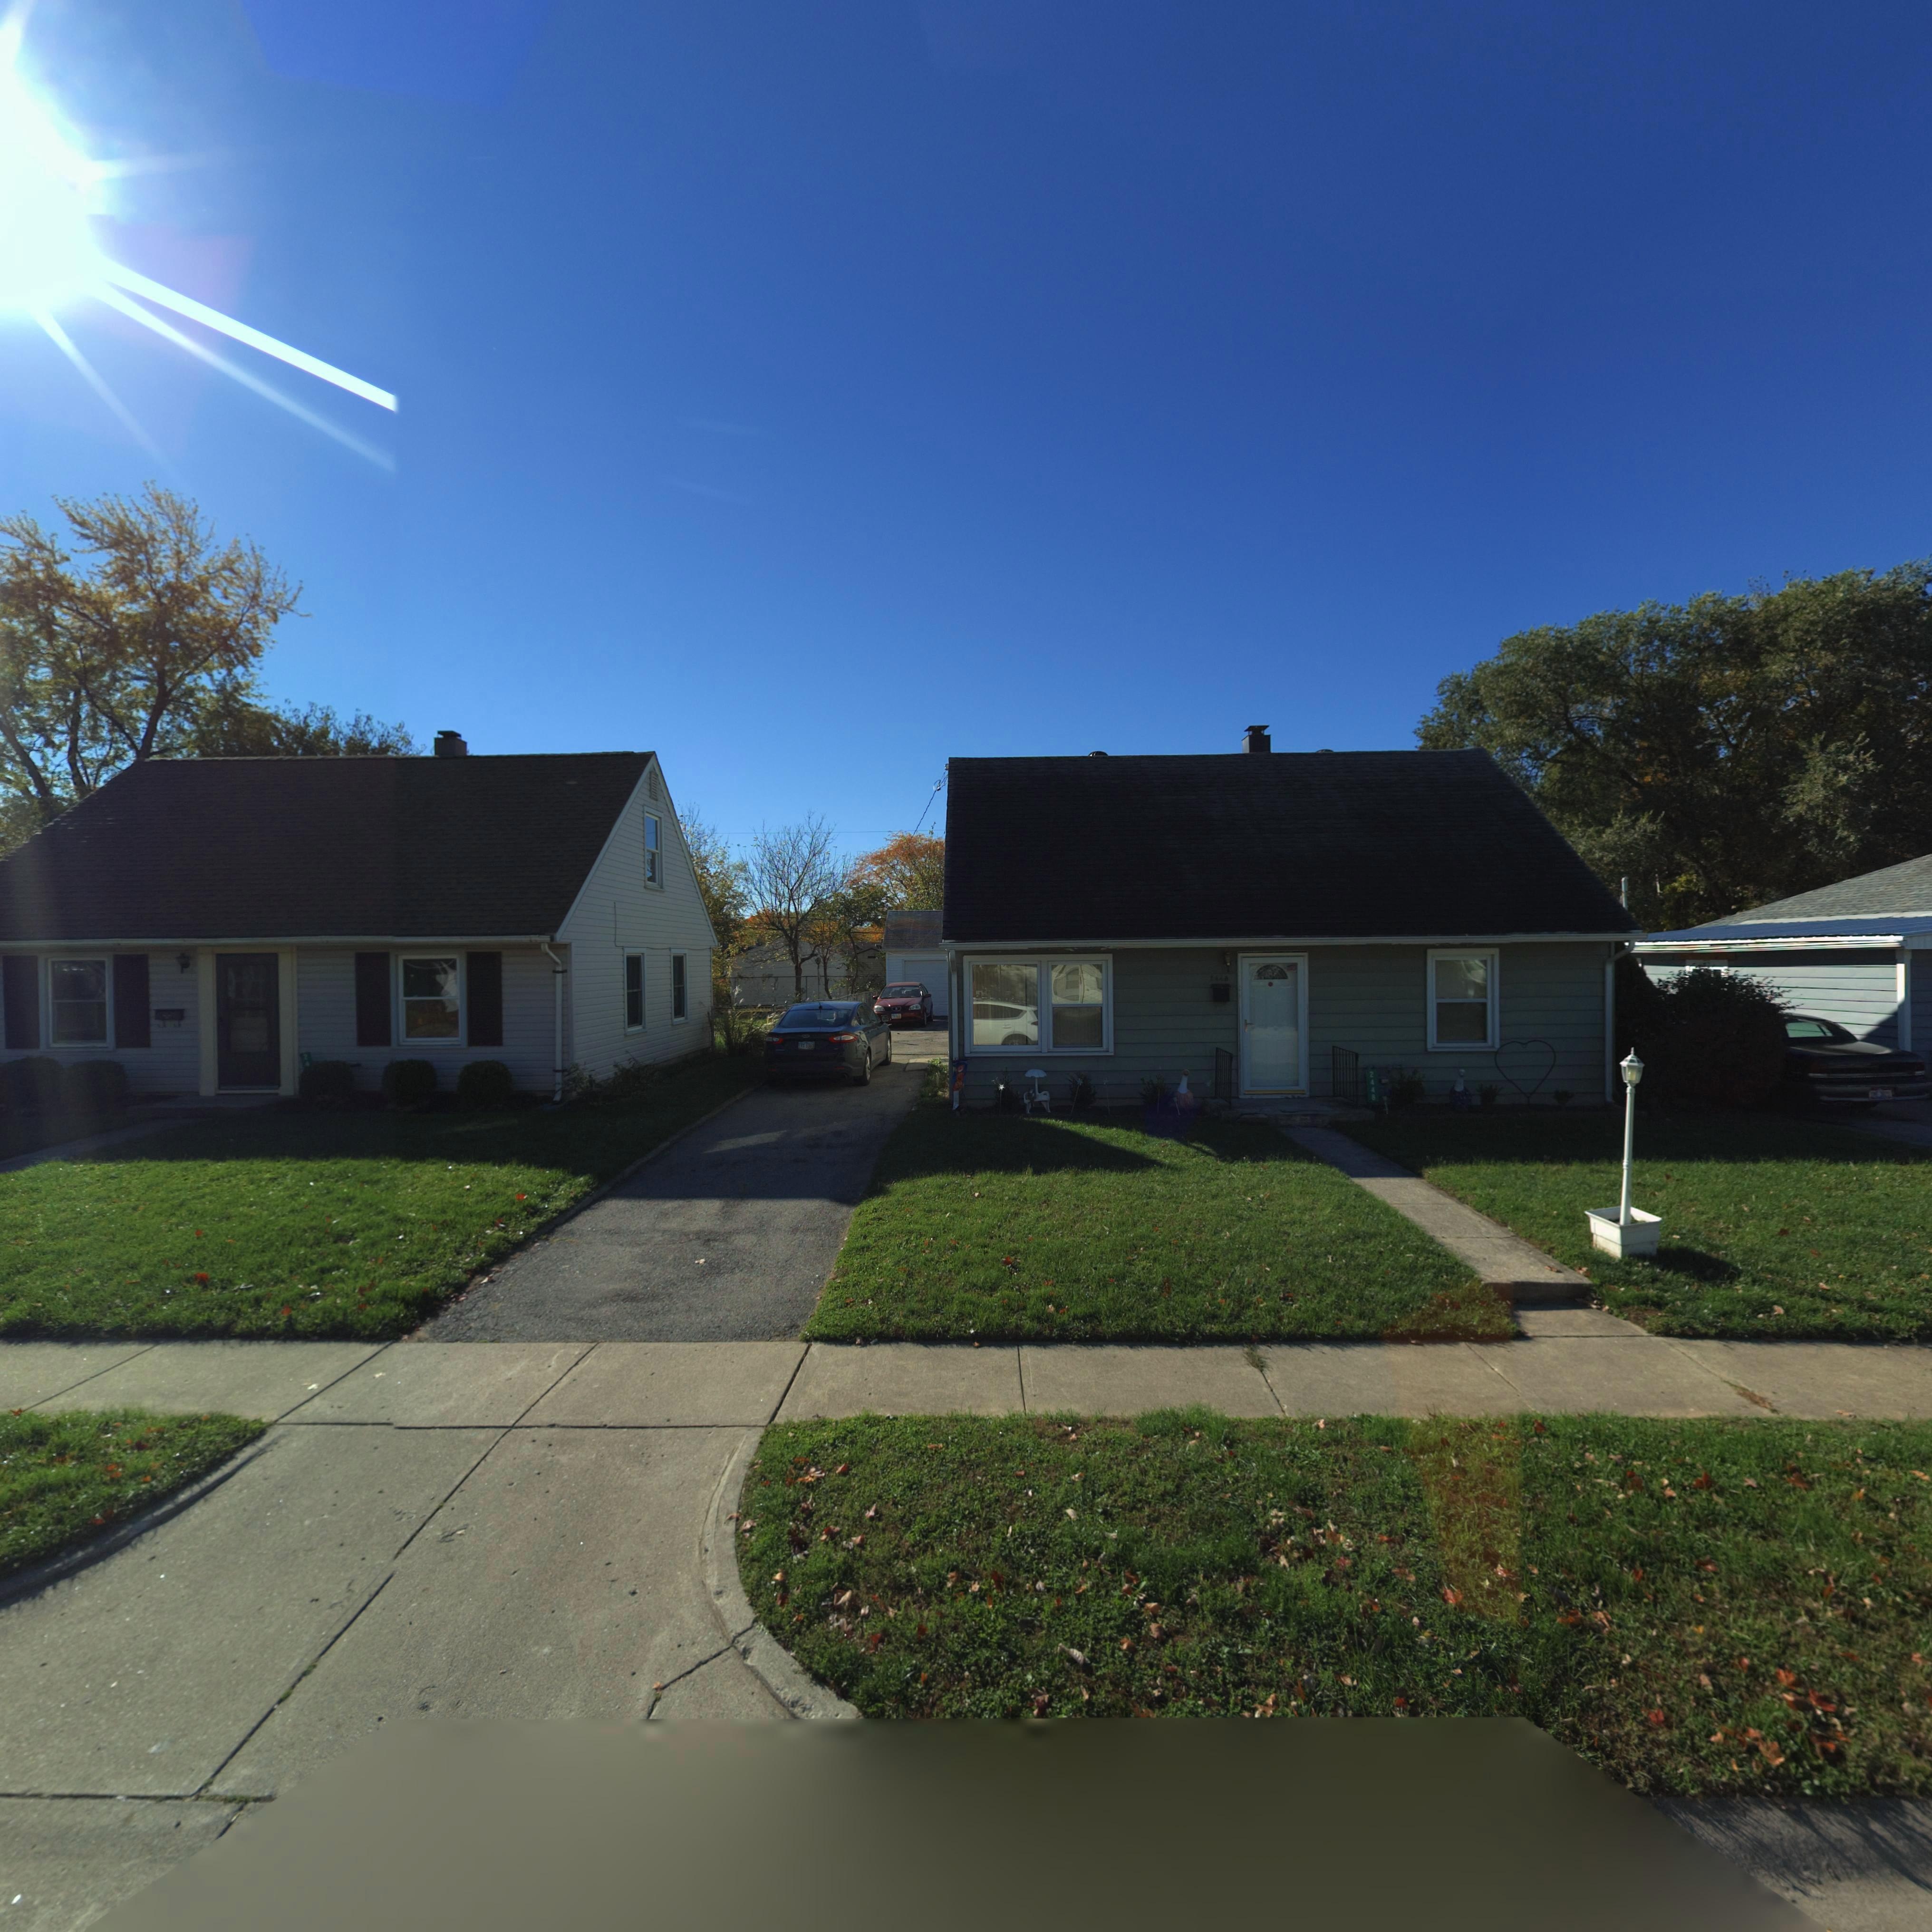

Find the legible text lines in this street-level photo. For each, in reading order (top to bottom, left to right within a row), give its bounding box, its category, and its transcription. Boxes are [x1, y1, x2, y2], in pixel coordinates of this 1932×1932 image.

[805, 1043, 815, 1048] None: 5960
[1367, 1069, 1377, 1102] StreetNumber: 2448